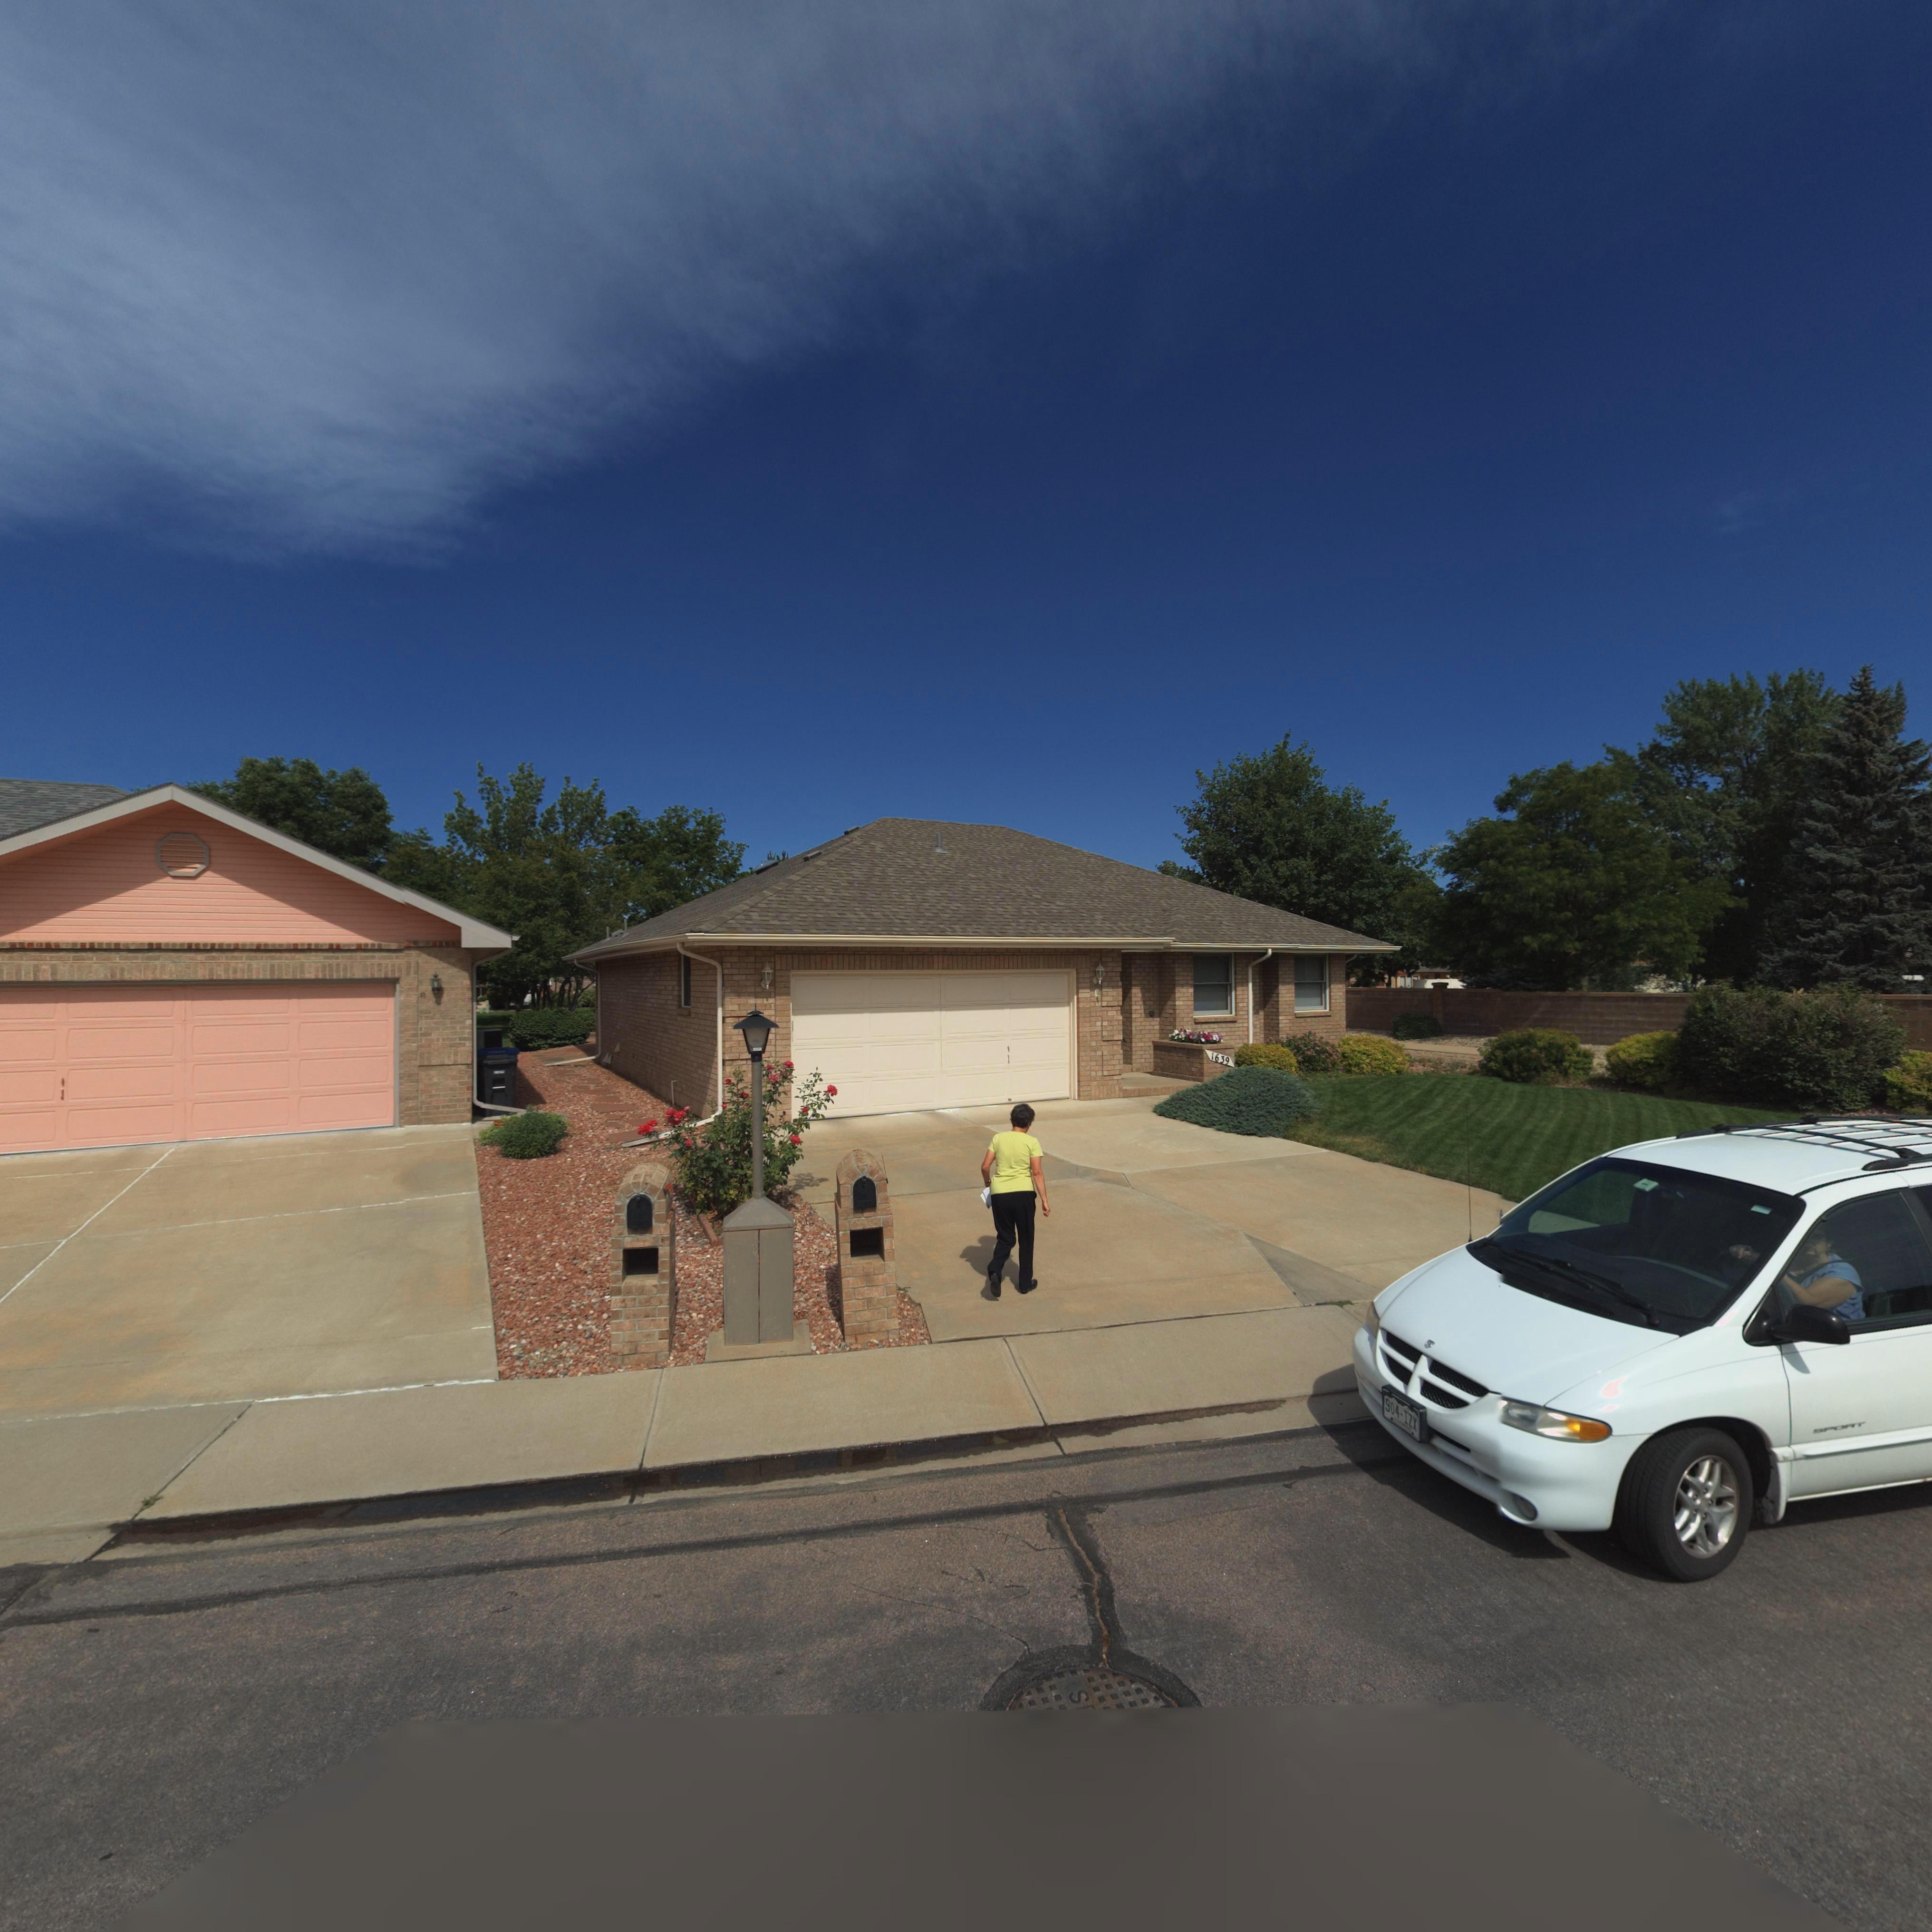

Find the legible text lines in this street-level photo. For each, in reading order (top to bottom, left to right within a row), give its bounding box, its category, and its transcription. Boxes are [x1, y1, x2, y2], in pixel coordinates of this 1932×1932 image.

[1211, 1052, 1229, 1065] StreetNumber: 1639